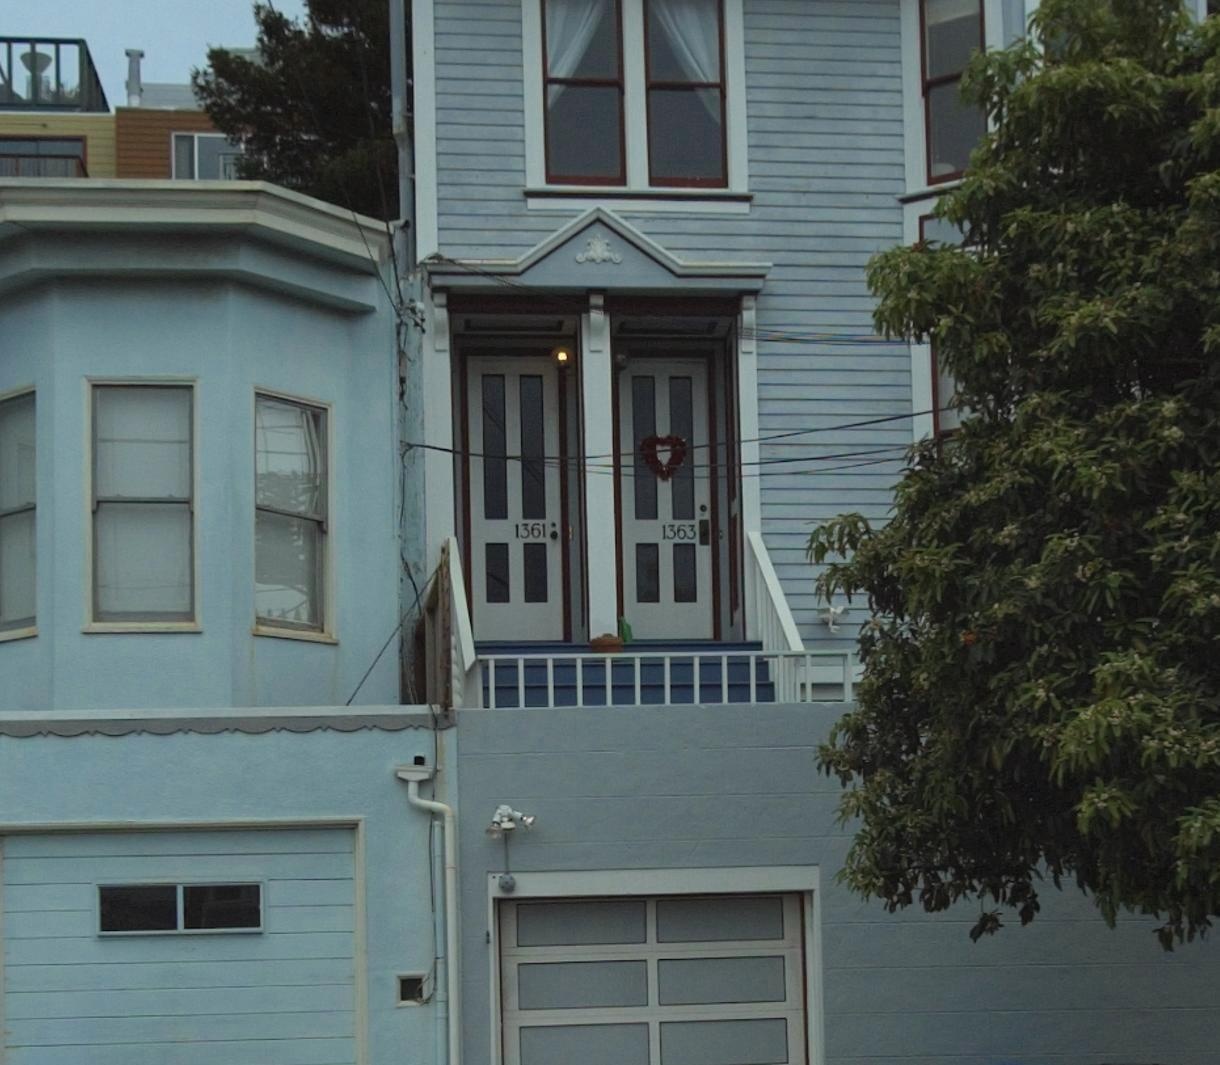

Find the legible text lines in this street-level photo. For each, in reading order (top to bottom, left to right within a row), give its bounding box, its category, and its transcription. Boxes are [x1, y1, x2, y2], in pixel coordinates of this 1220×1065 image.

[513, 522, 547, 539] StreetNumber: 1361
[660, 524, 697, 541] StreetNumber: 1363